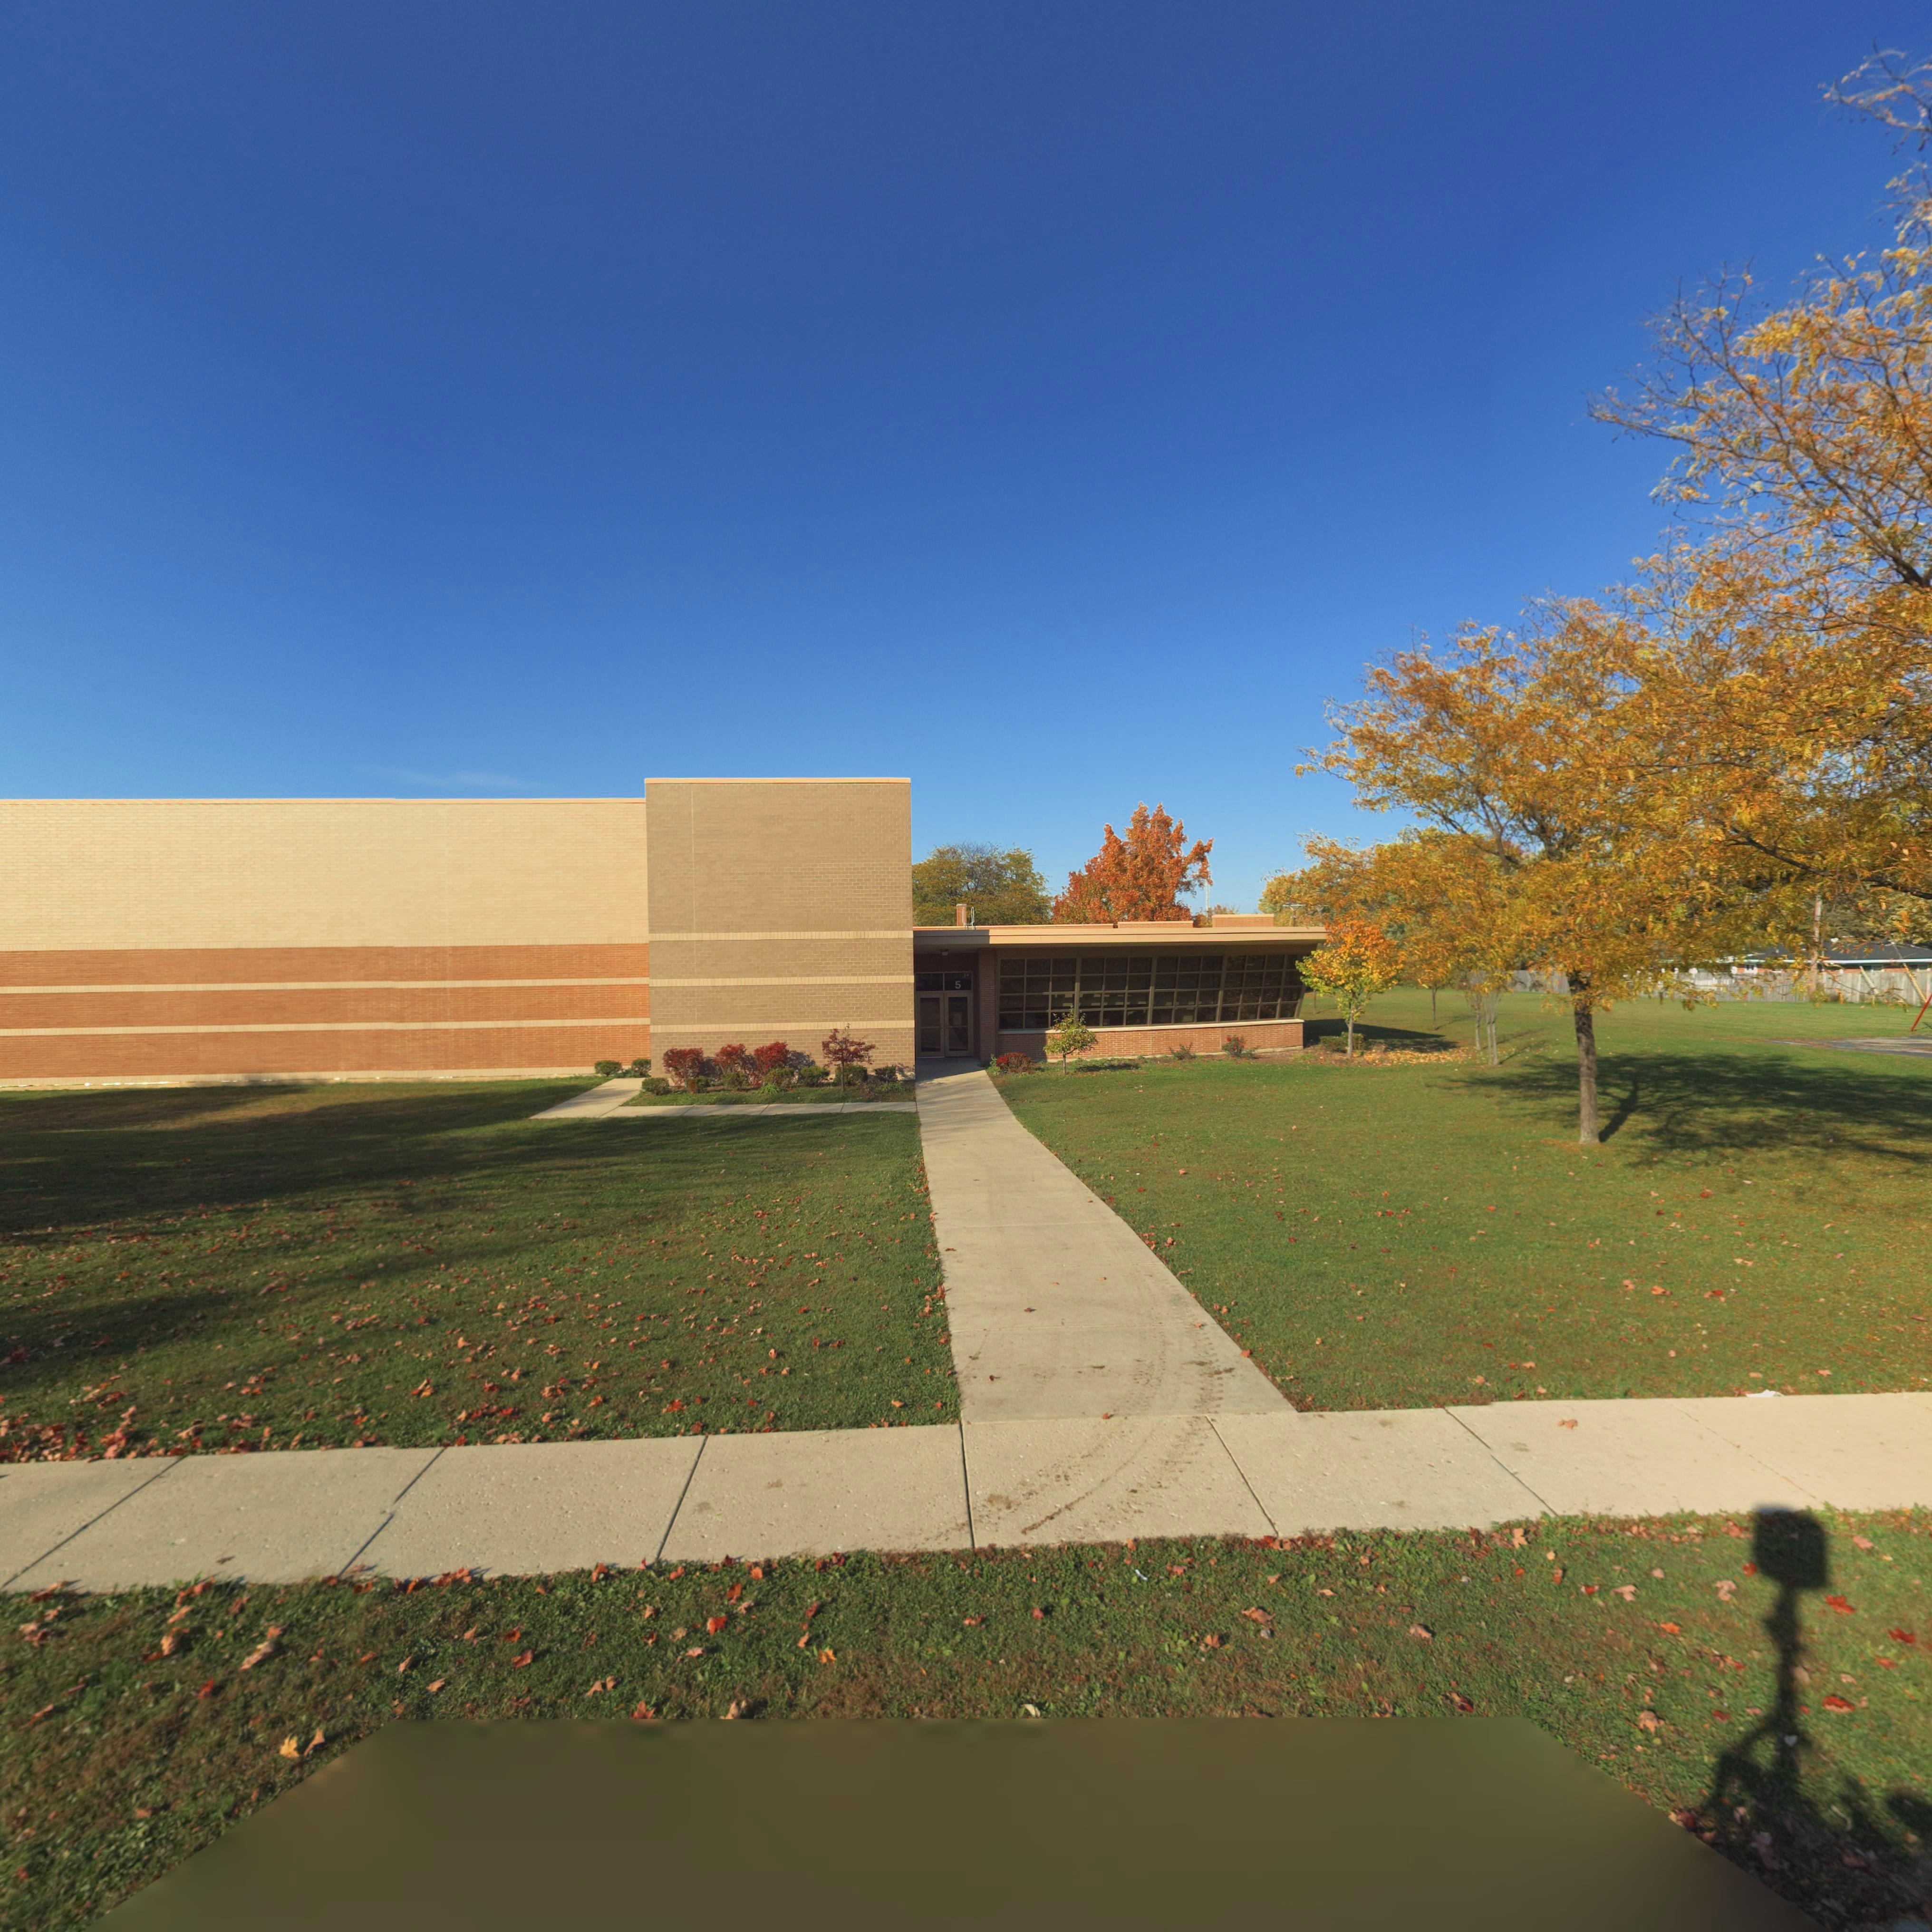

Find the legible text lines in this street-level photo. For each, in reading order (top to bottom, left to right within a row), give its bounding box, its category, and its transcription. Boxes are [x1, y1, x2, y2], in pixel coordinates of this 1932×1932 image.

[955, 981, 961, 989] StreetNumber: 5